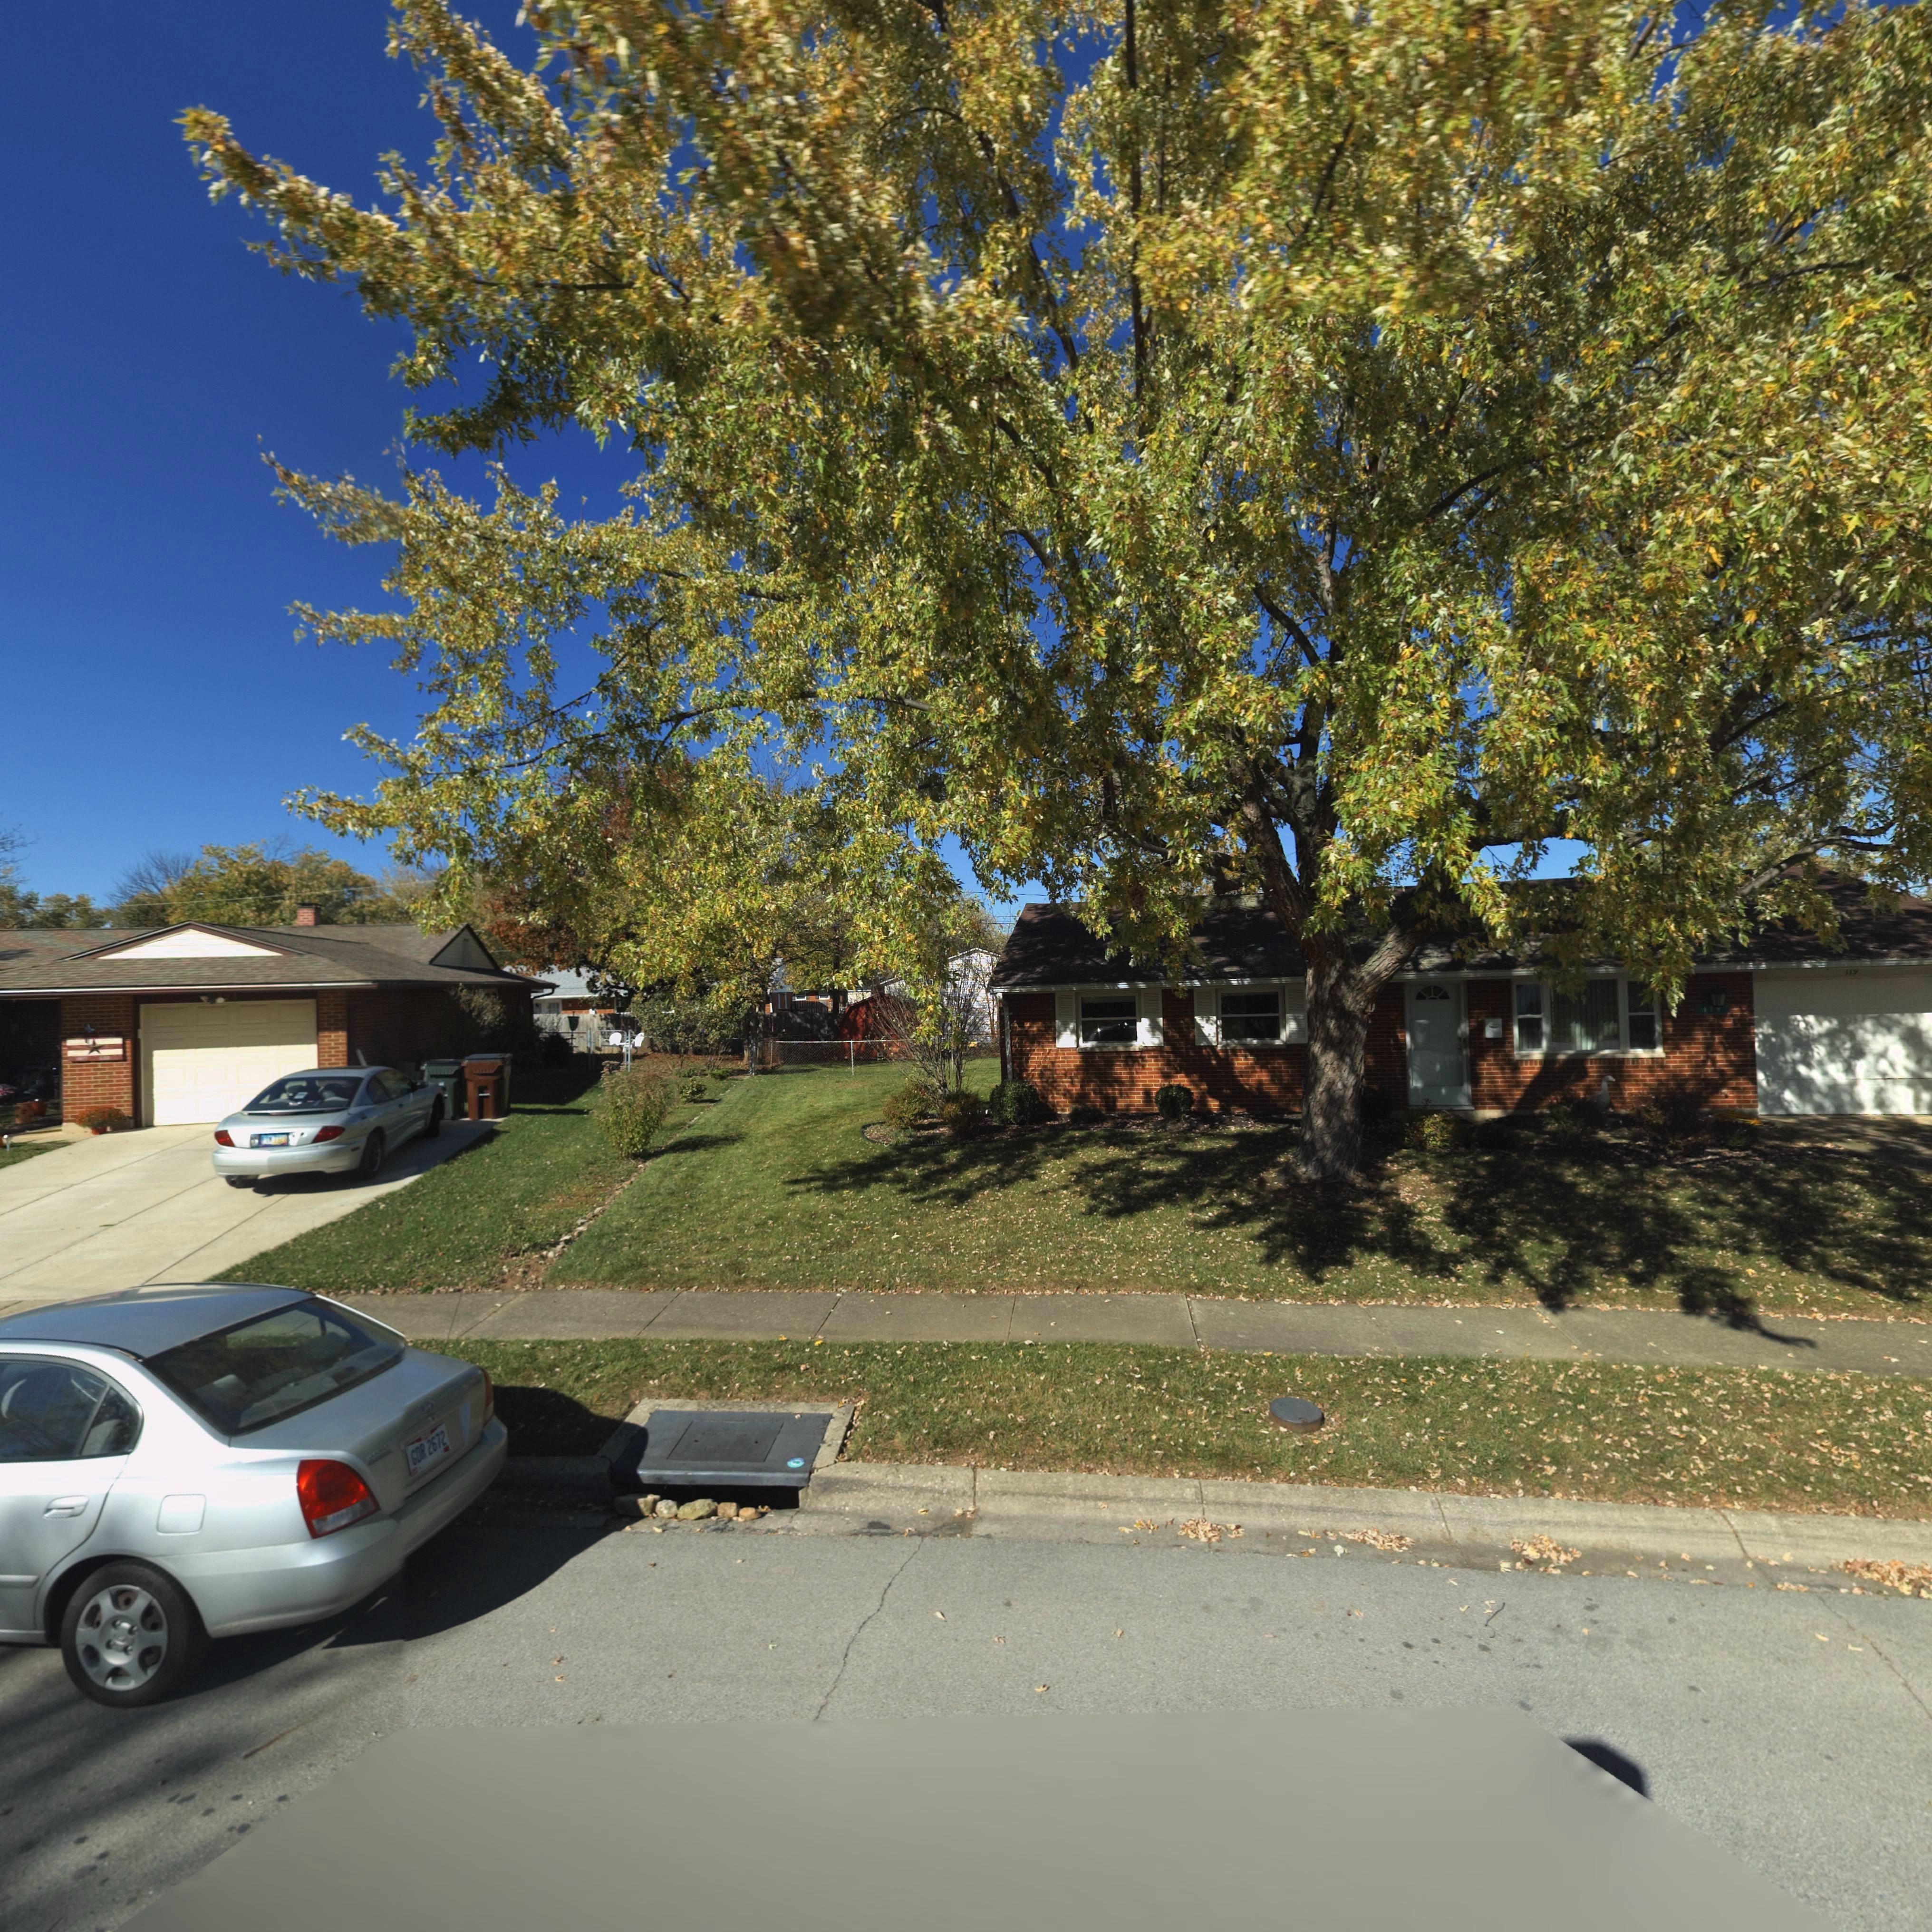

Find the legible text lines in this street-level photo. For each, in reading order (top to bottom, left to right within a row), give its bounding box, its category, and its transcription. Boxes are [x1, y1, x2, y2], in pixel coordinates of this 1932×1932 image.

[1702, 1005, 1708, 1013] StreetNumber: 1